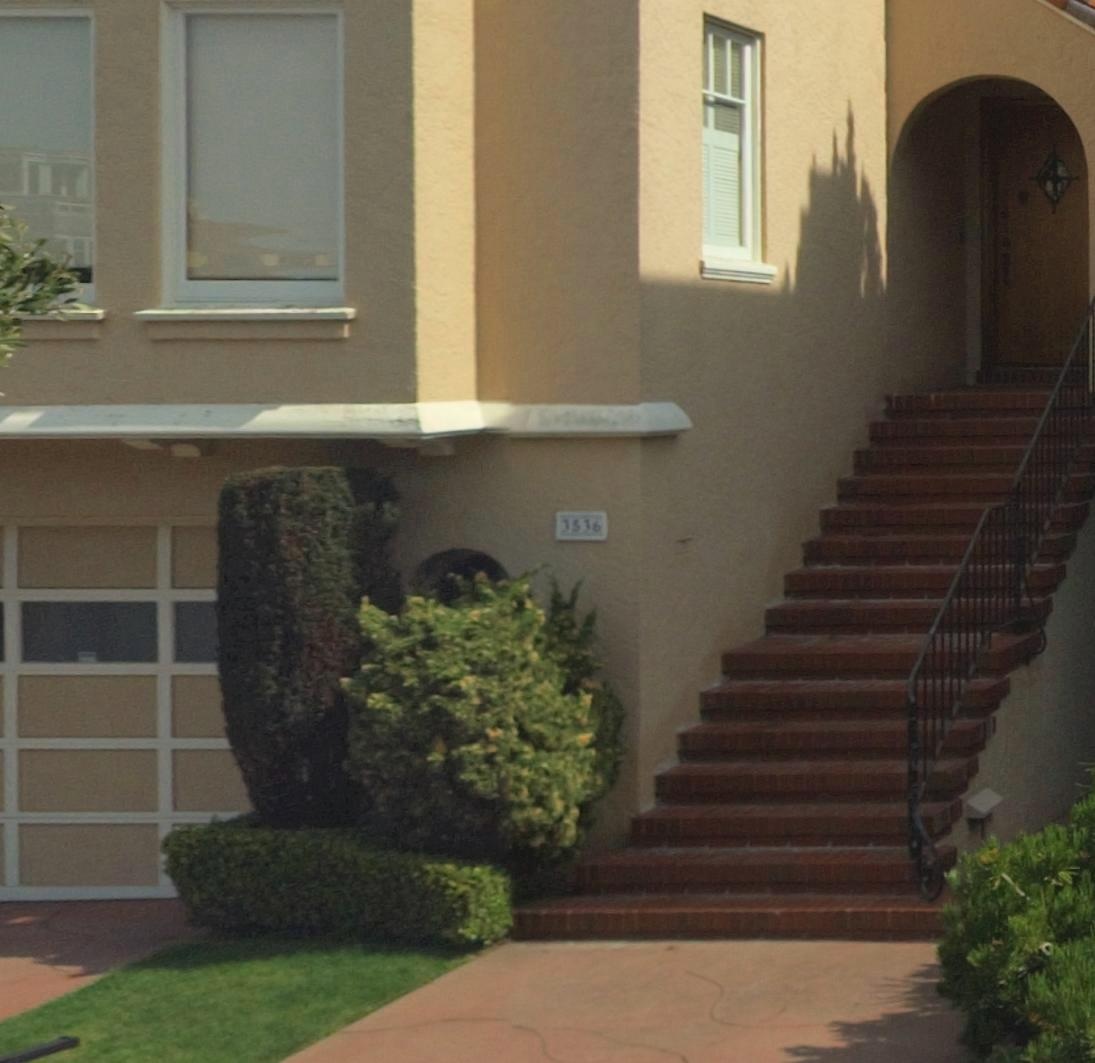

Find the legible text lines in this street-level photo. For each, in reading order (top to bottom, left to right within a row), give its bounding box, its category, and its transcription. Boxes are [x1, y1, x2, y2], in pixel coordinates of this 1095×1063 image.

[558, 515, 604, 537] StreetNumber: 3536